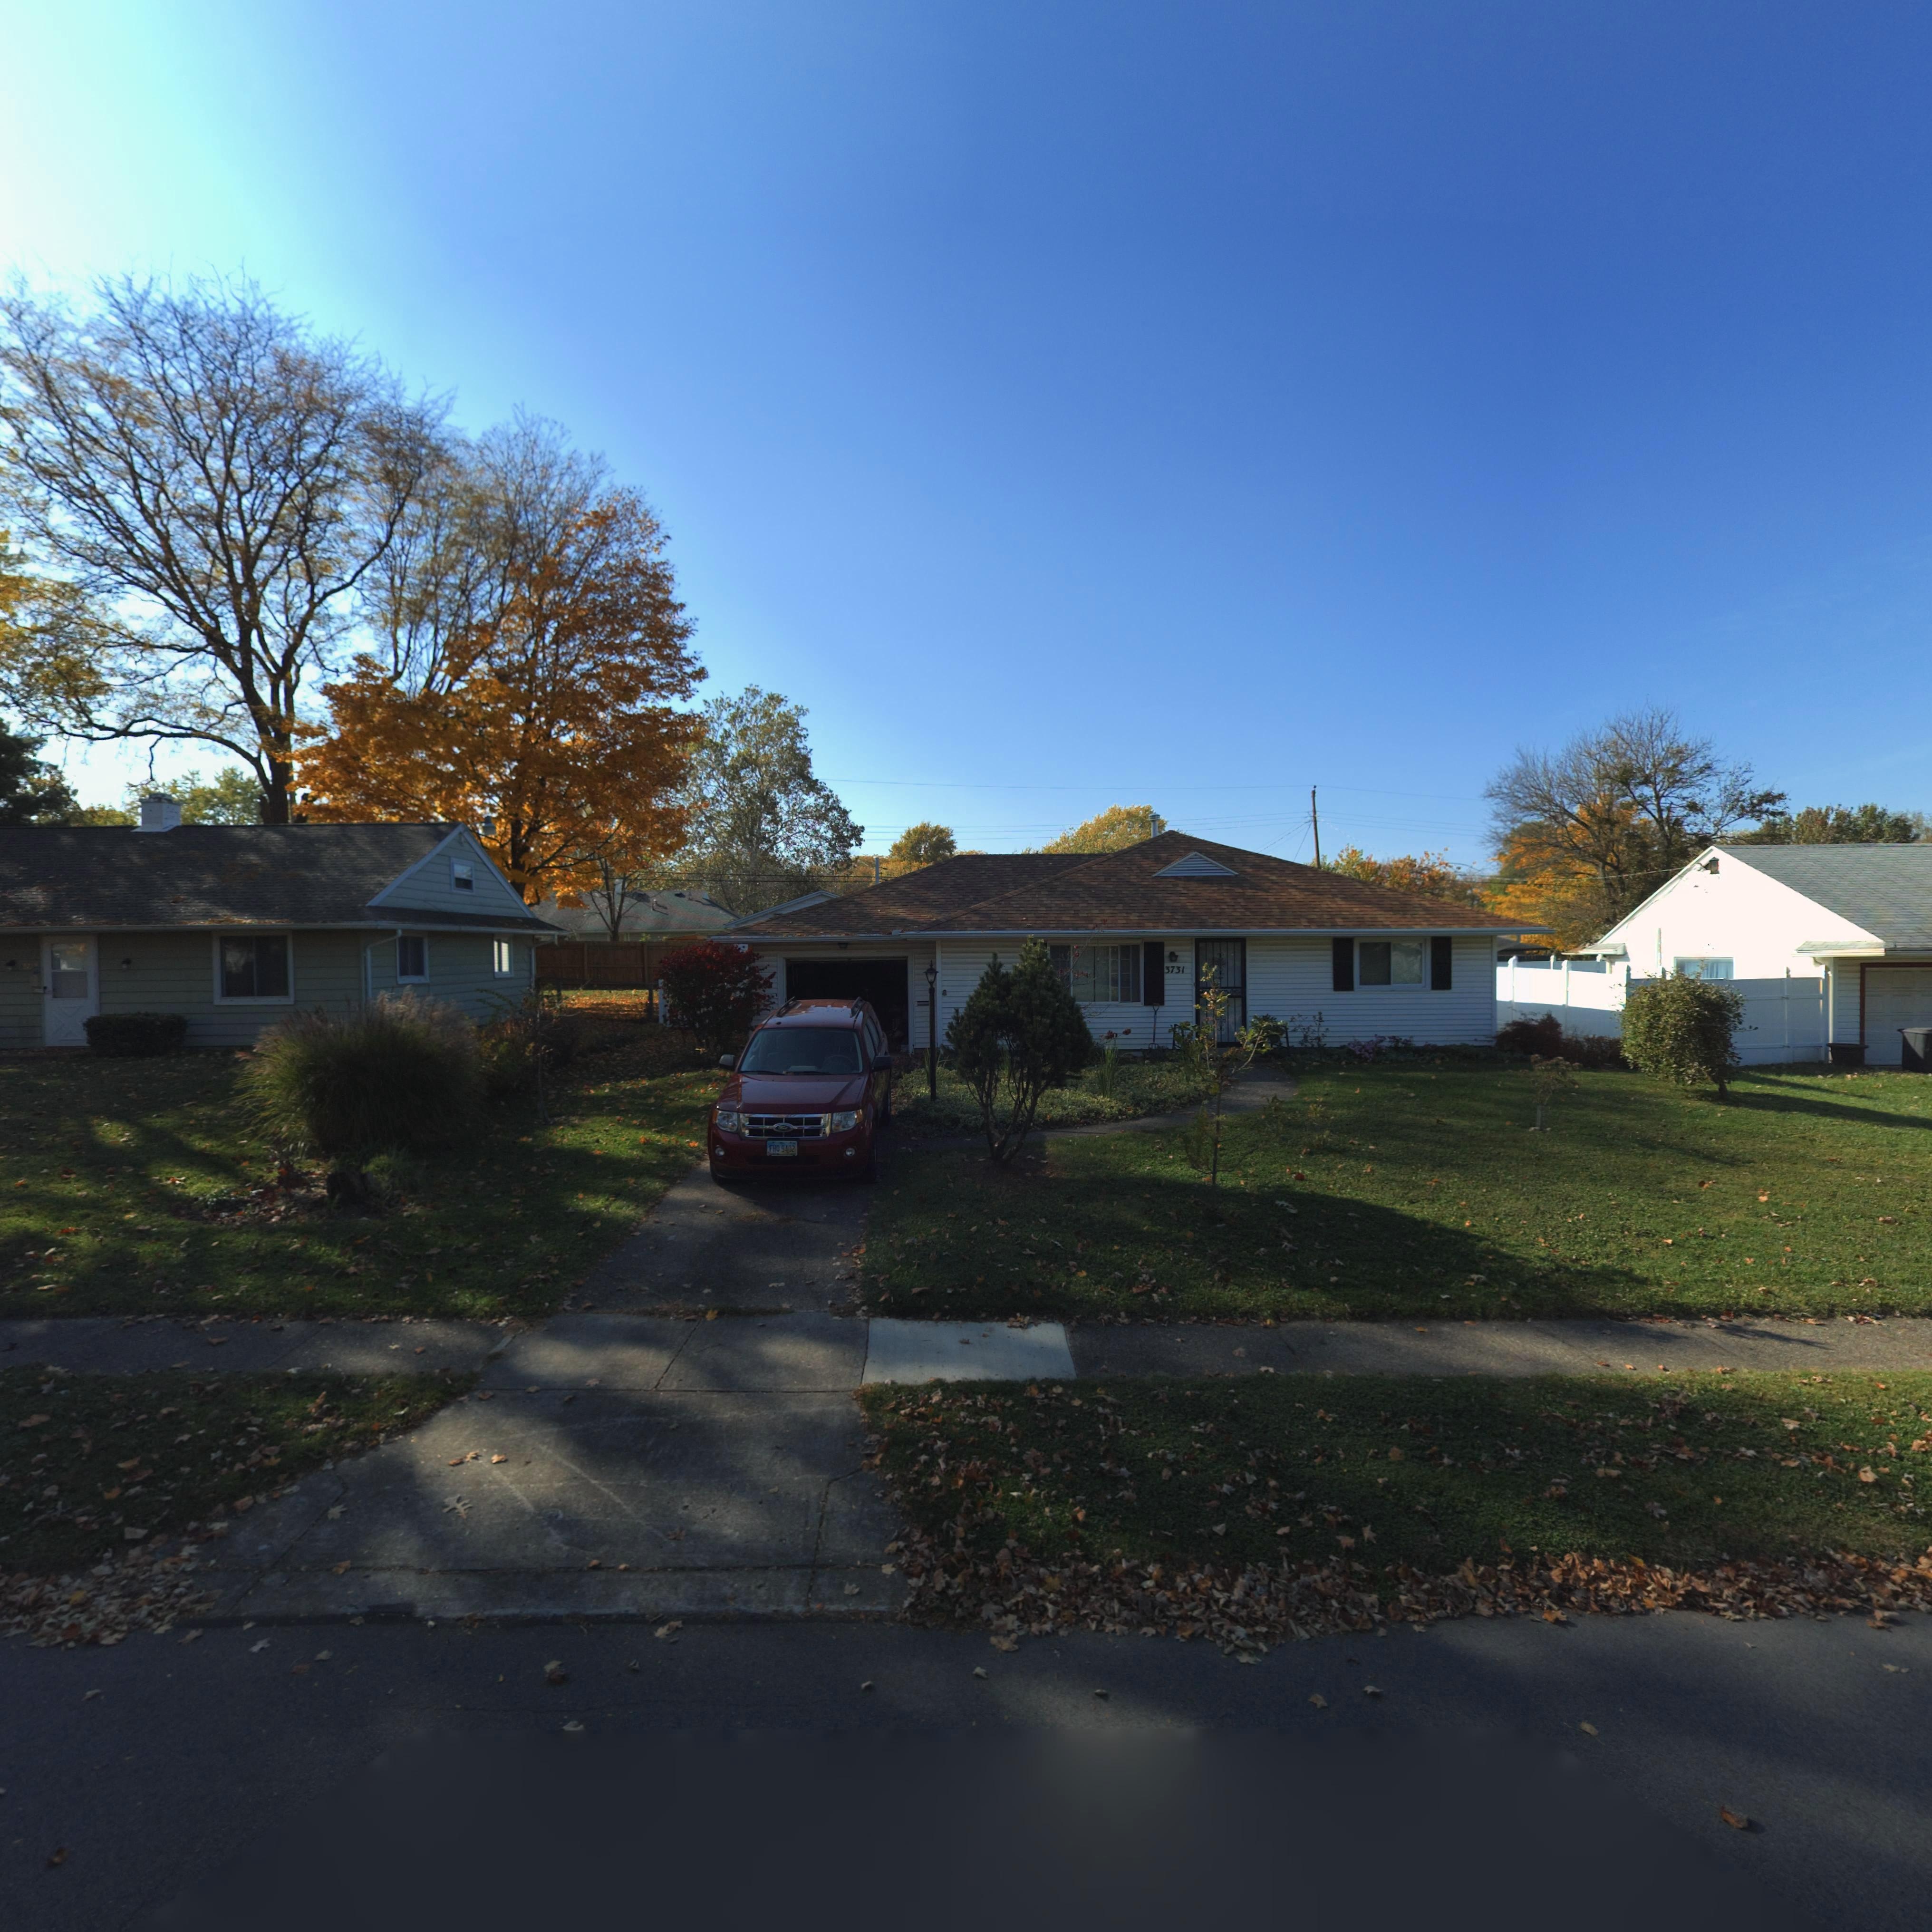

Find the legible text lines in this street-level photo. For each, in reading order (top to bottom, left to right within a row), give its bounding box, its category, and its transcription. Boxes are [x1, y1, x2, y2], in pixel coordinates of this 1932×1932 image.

[1165, 966, 1185, 974] StreetNumber: 3731
[769, 1144, 795, 1153] None: FHQ*9402